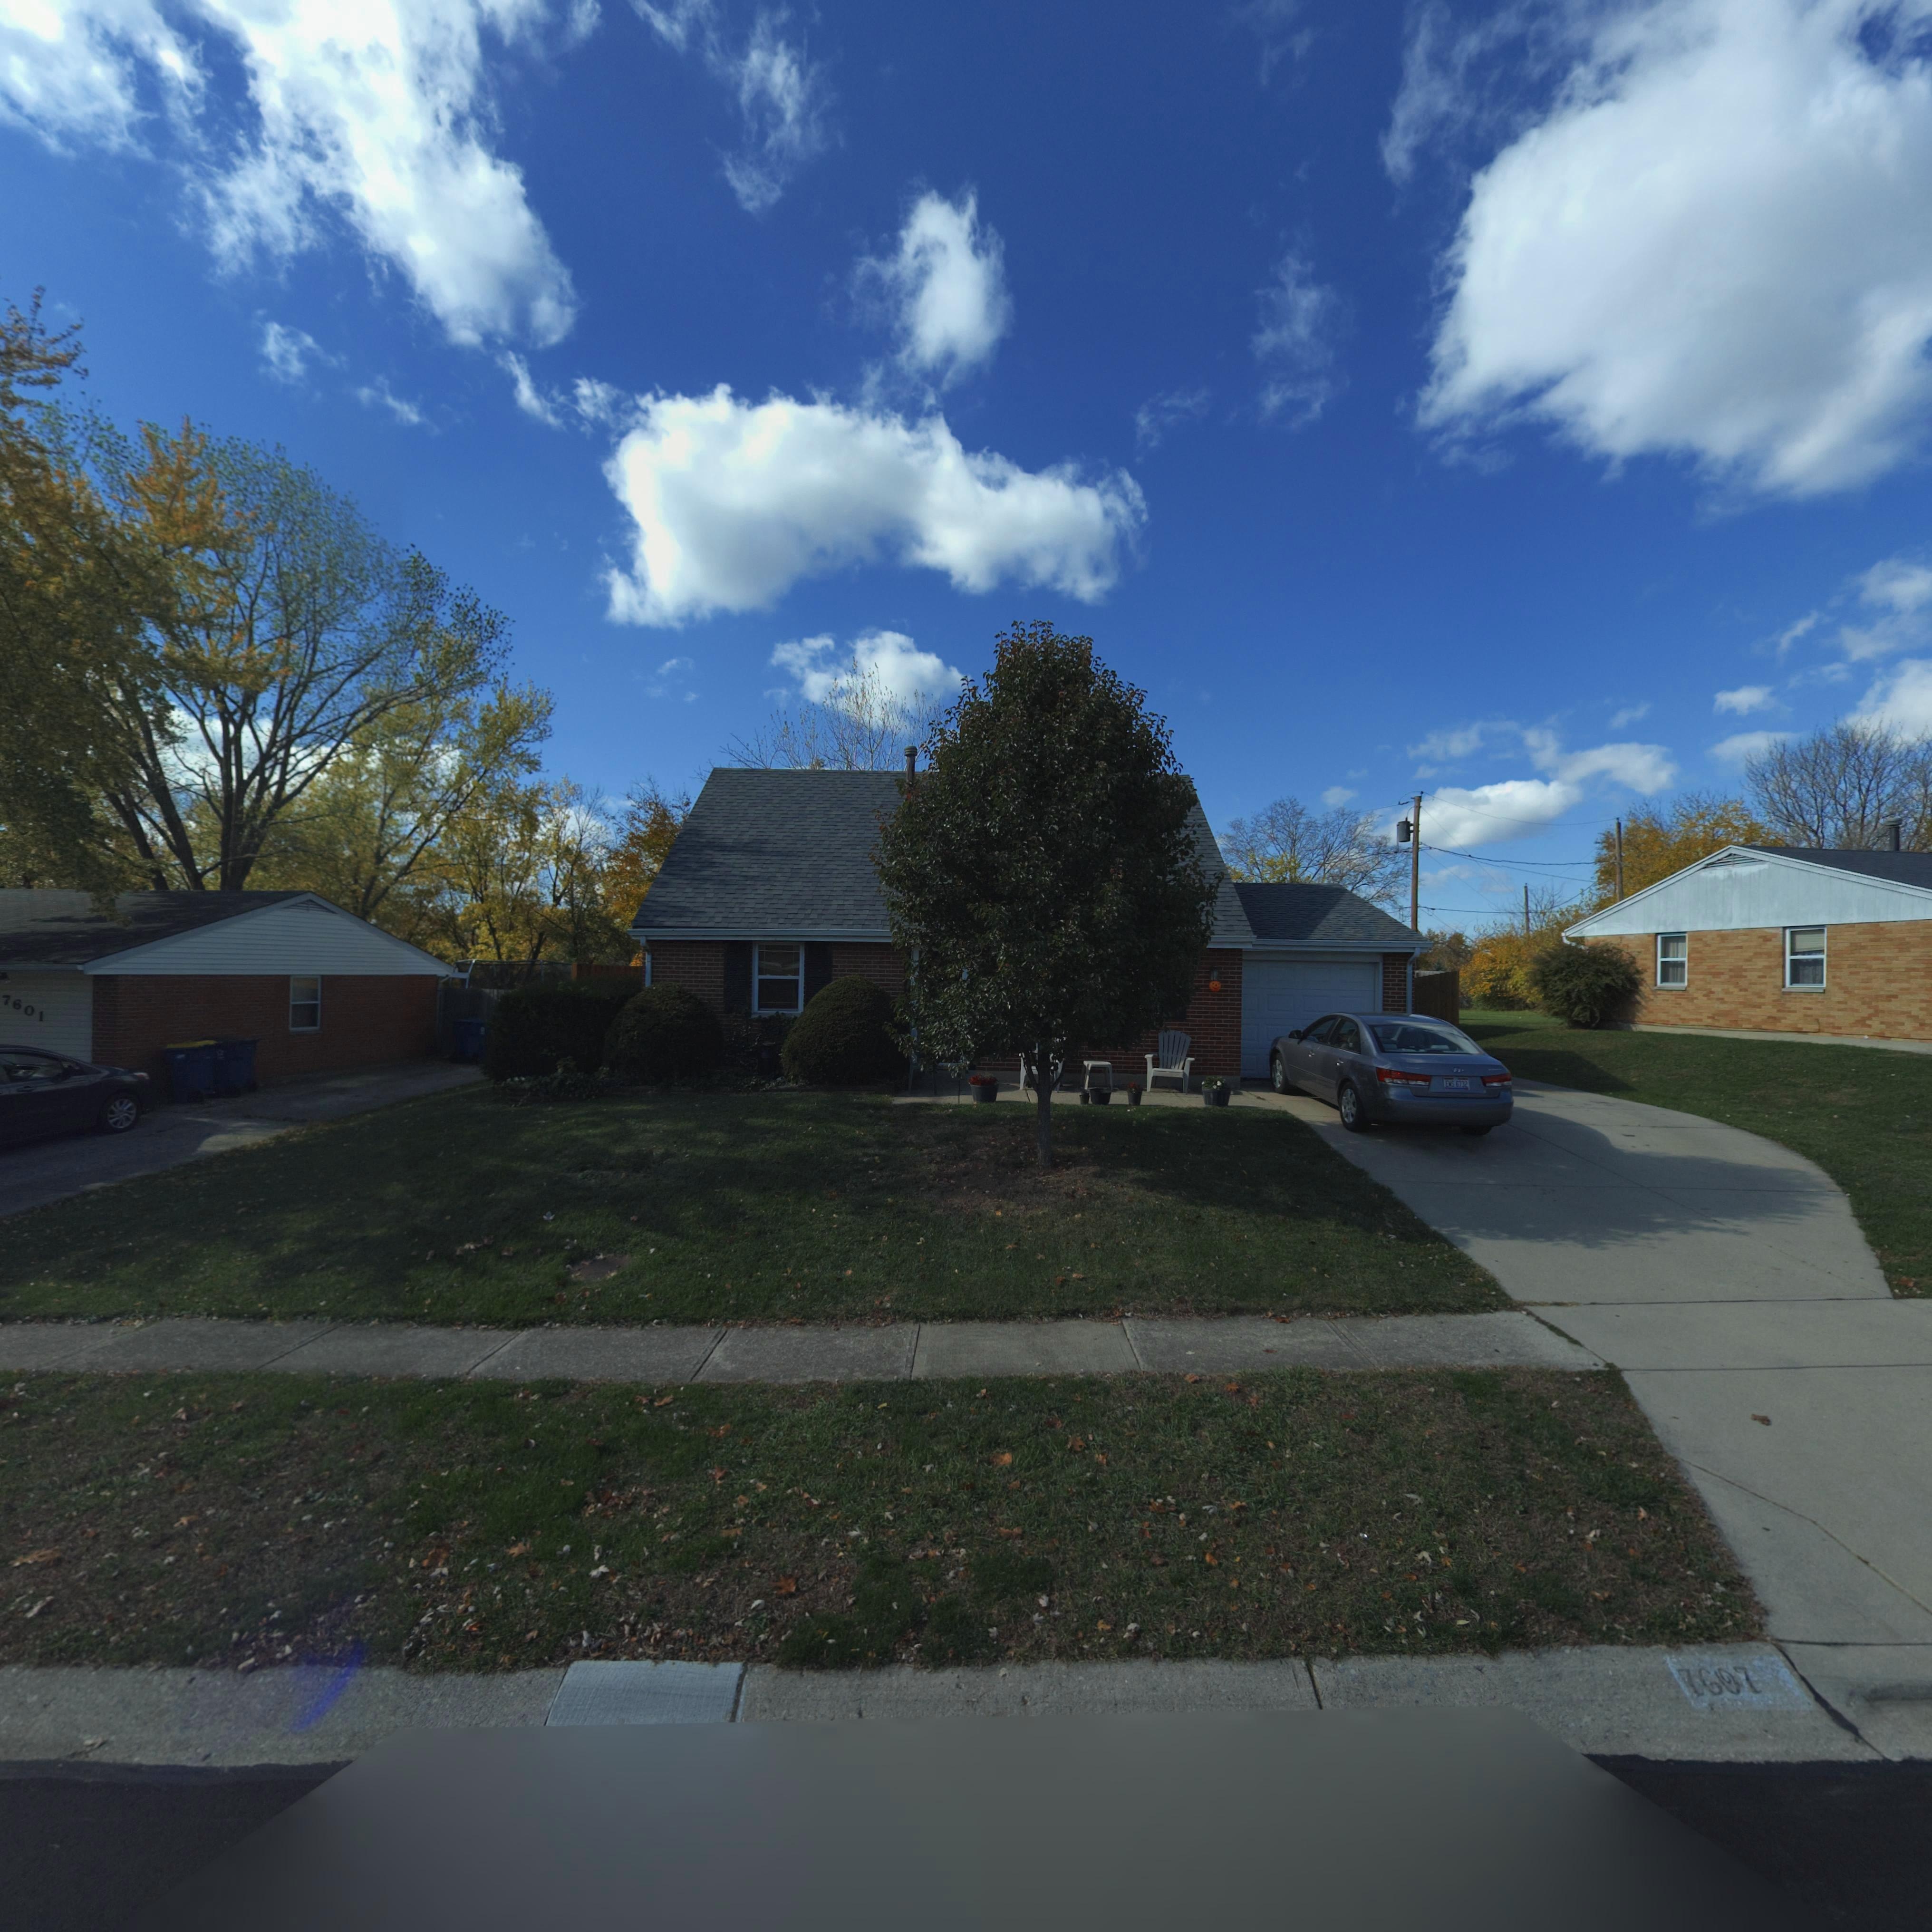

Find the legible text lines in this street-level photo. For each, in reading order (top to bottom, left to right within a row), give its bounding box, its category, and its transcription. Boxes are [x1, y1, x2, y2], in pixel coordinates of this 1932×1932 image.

[1, 994, 45, 1022] StreetNumber: 7601
[1673, 1665, 1764, 1699] StreetNumber: 7607